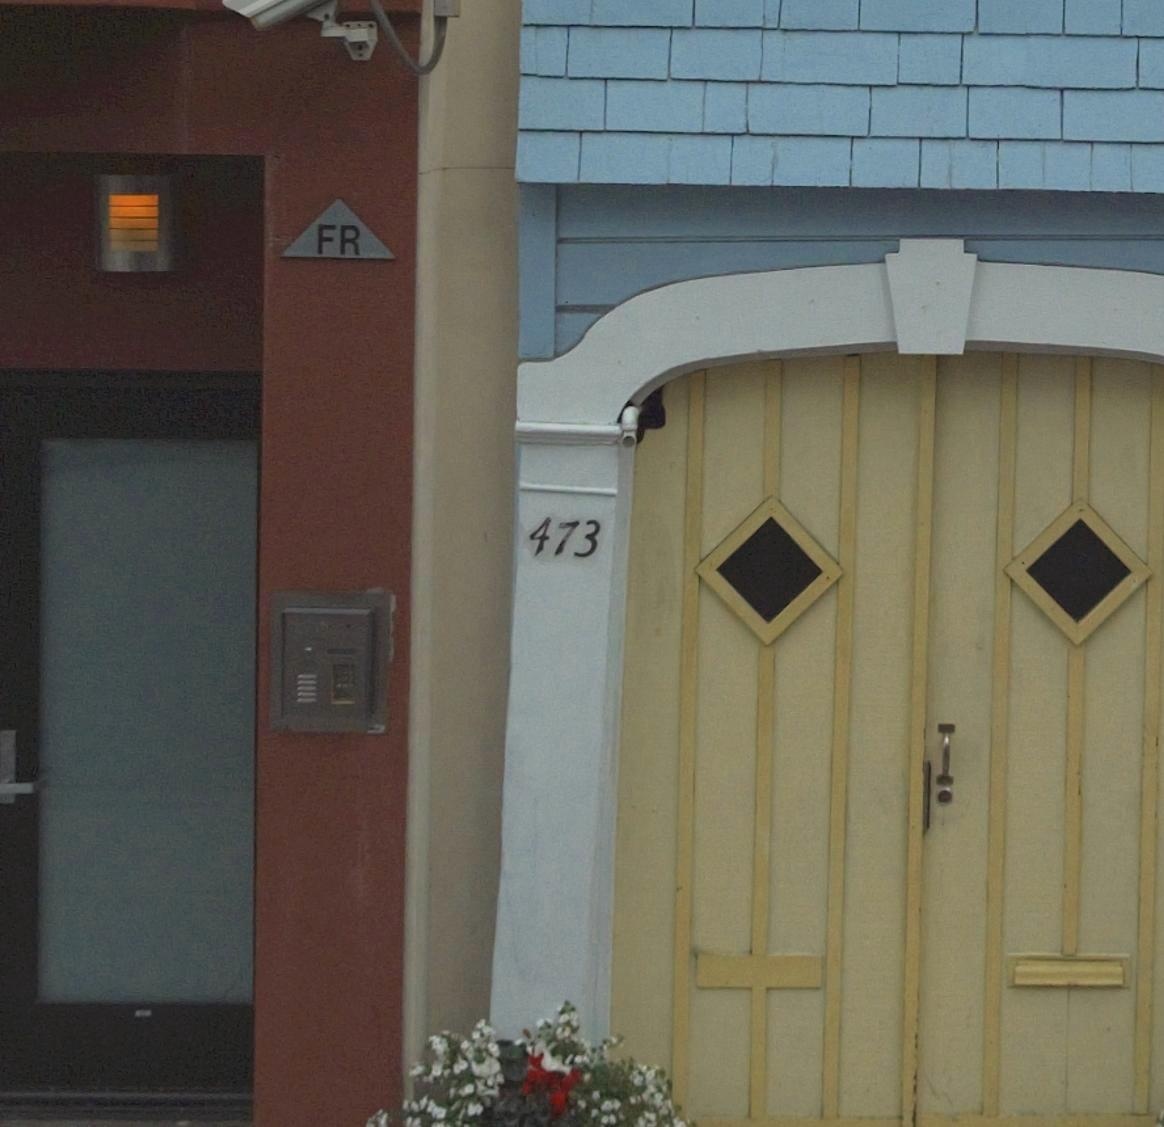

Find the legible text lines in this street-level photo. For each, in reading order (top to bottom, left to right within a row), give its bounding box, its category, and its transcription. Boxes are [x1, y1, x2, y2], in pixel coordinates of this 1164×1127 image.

[314, 221, 364, 259] None: FR
[525, 514, 604, 562] StreetNumber: 473